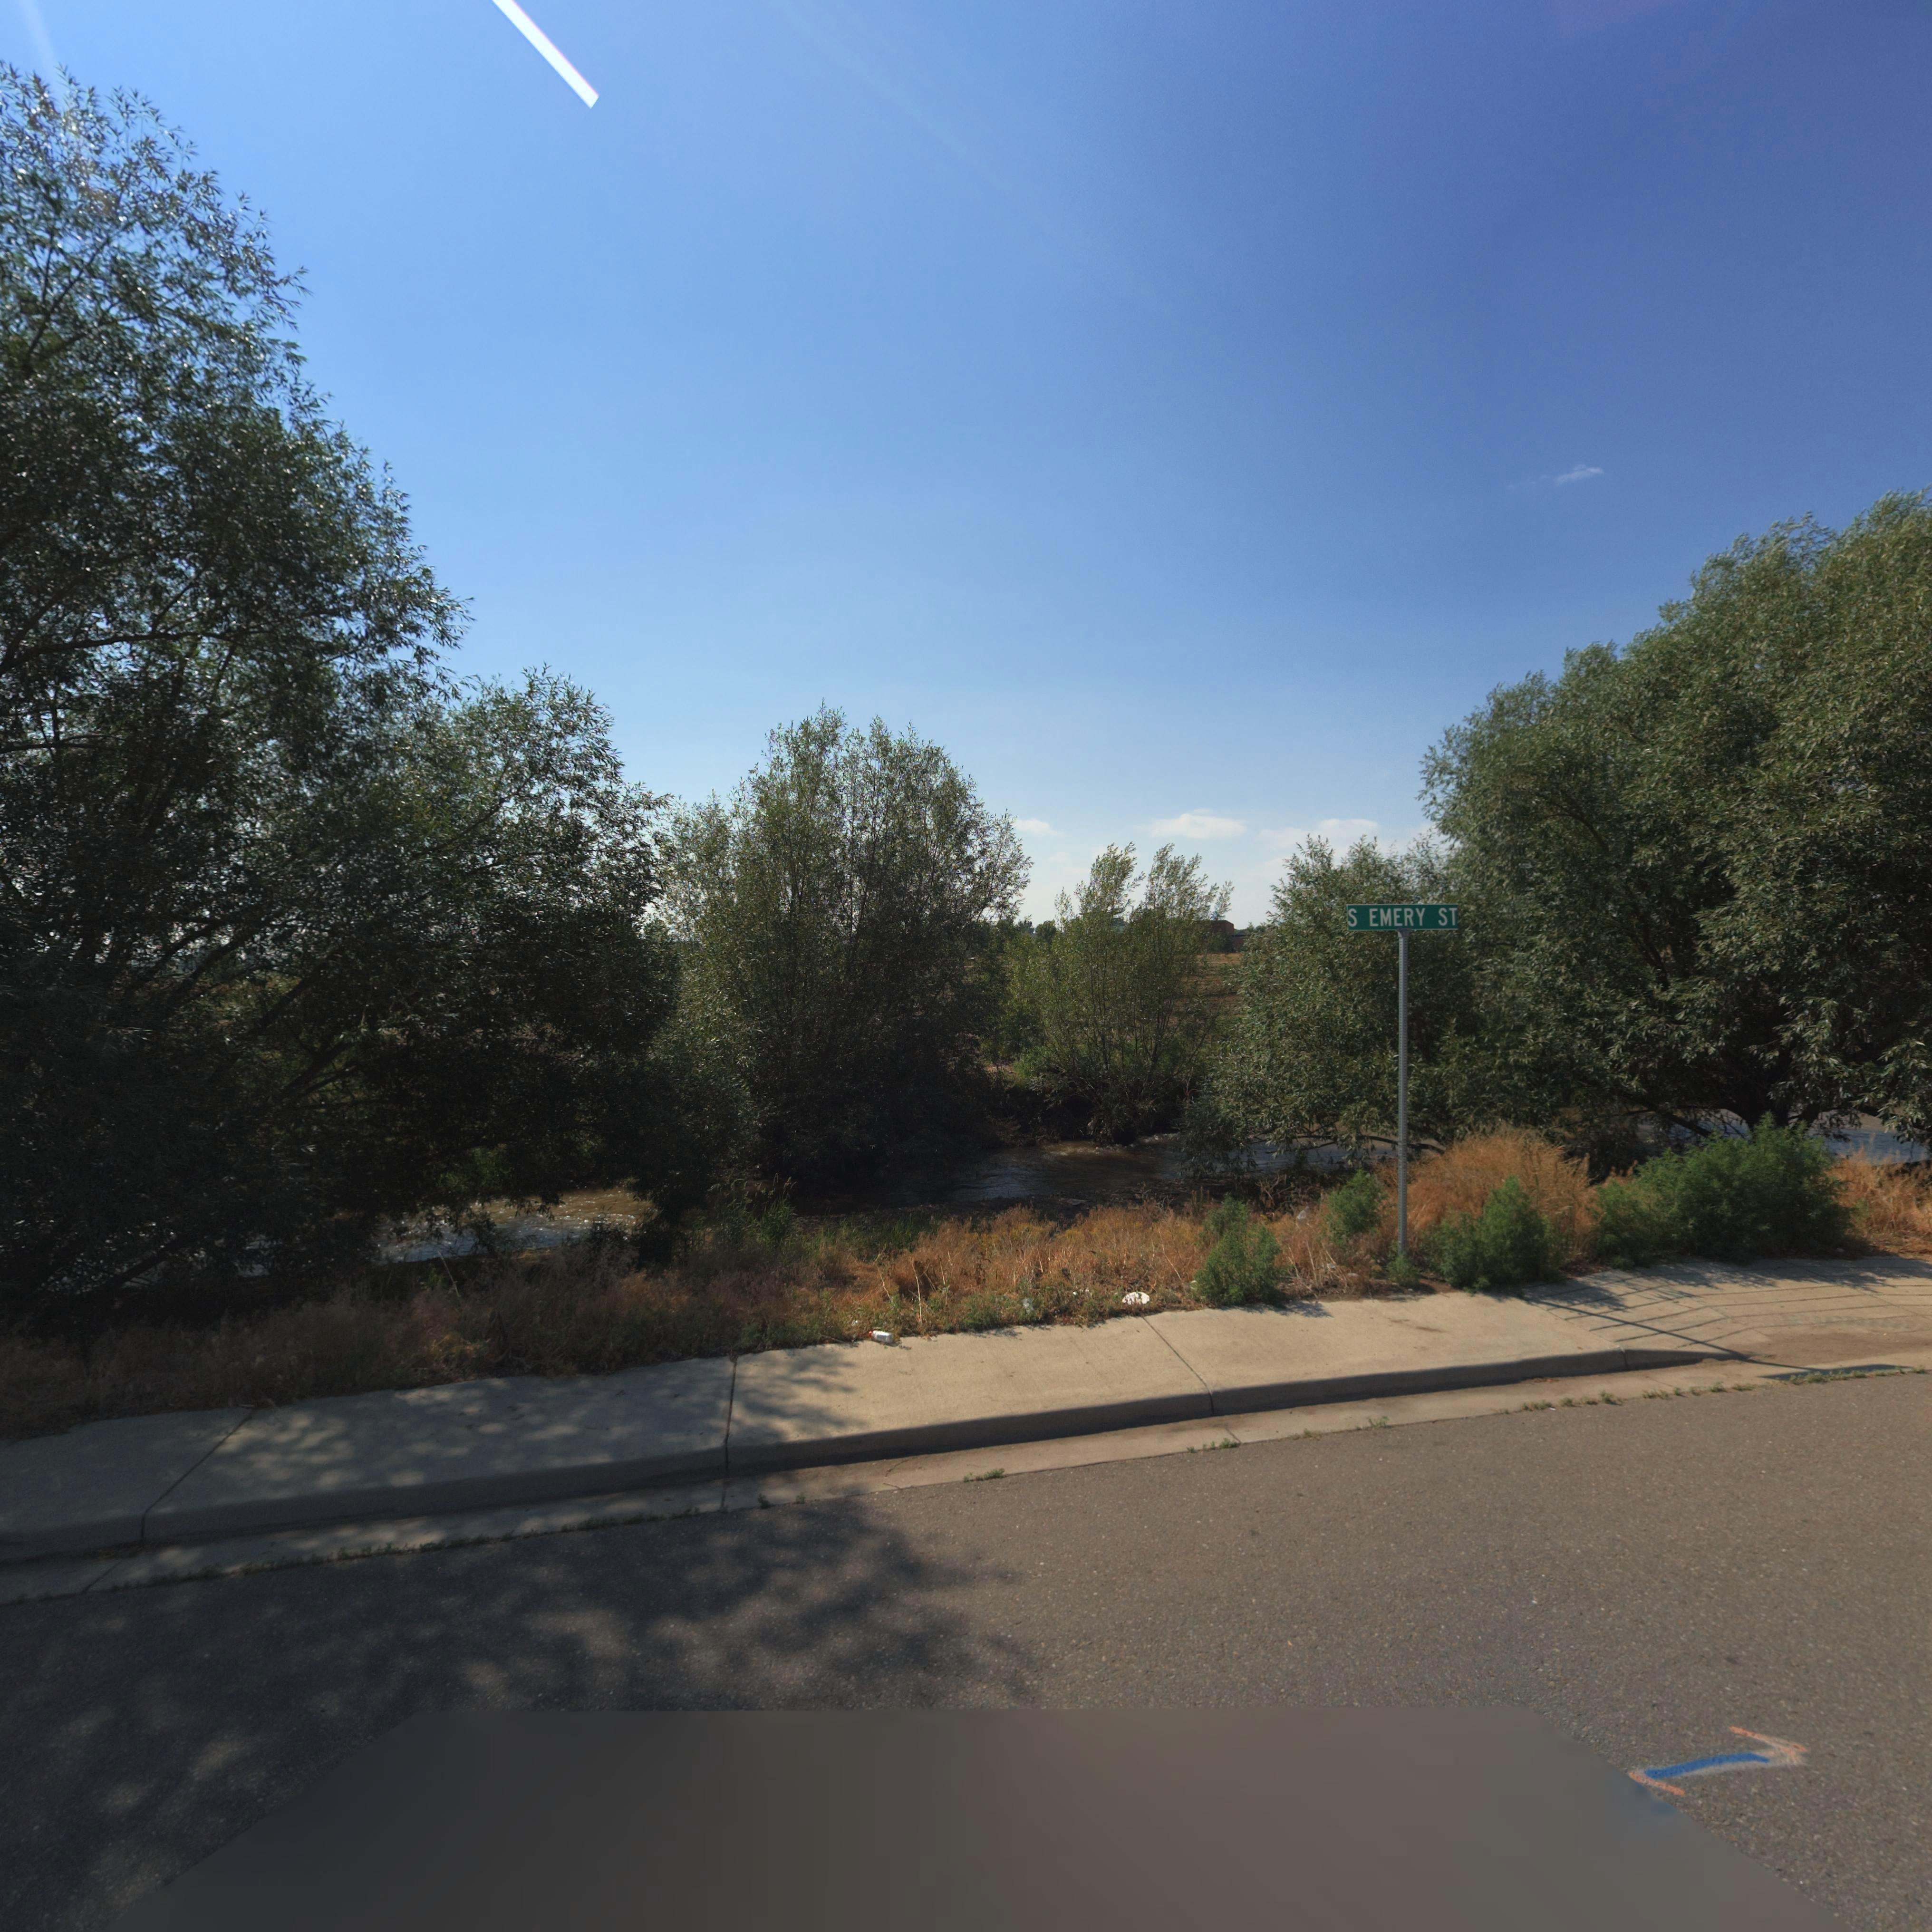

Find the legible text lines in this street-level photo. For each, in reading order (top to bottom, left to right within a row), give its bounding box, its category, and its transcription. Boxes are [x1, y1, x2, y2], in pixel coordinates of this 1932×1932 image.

[1347, 907, 1458, 927] StreetName: S EMERY ST